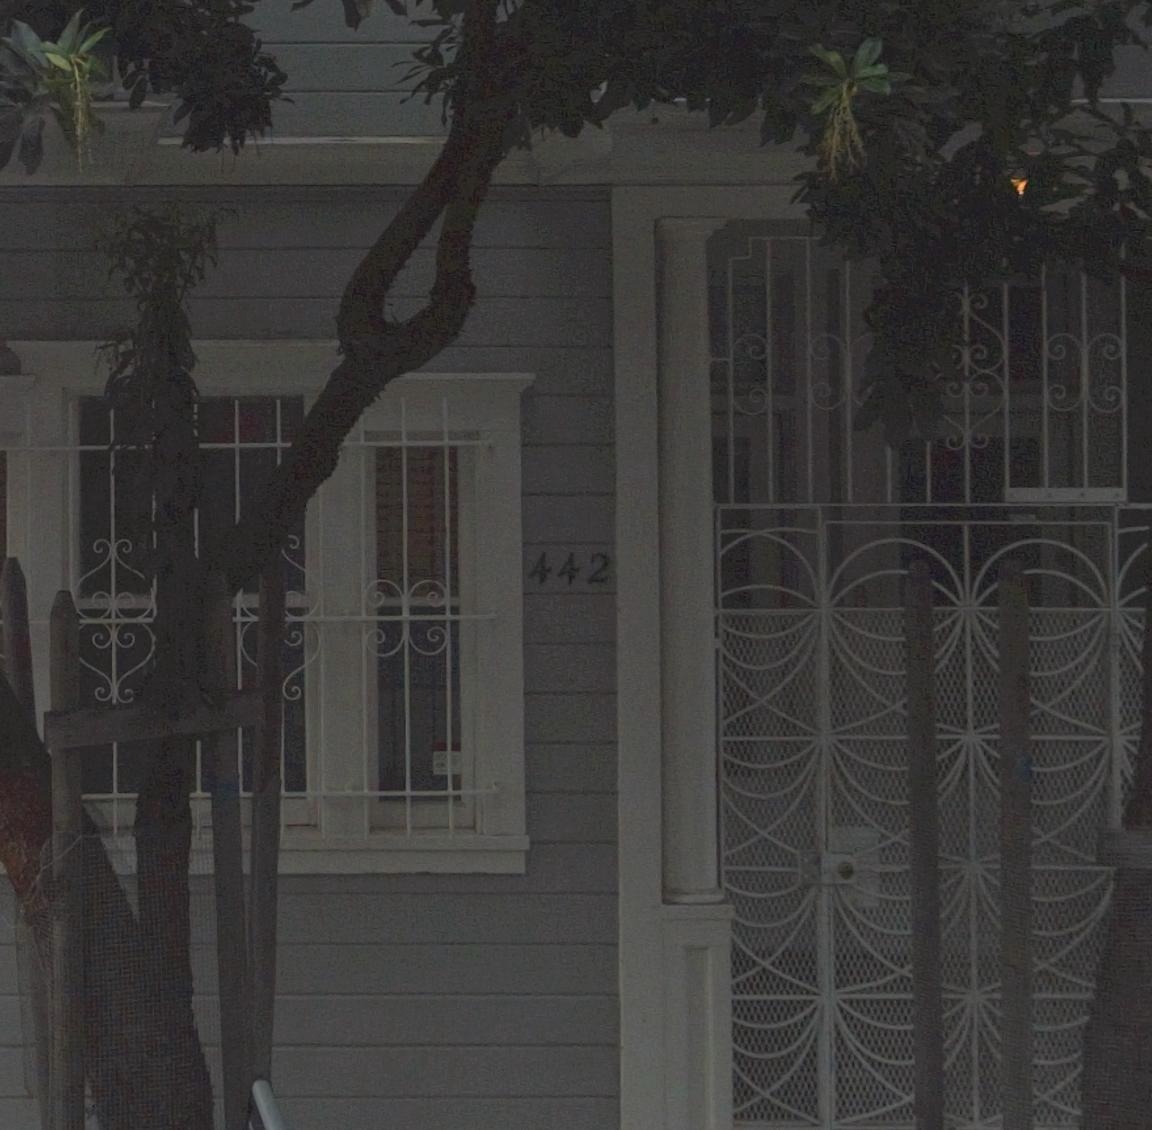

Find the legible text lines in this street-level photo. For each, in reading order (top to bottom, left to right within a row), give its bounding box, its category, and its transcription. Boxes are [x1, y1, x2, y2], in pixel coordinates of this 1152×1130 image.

[522, 548, 613, 589] StreetNumber: 442